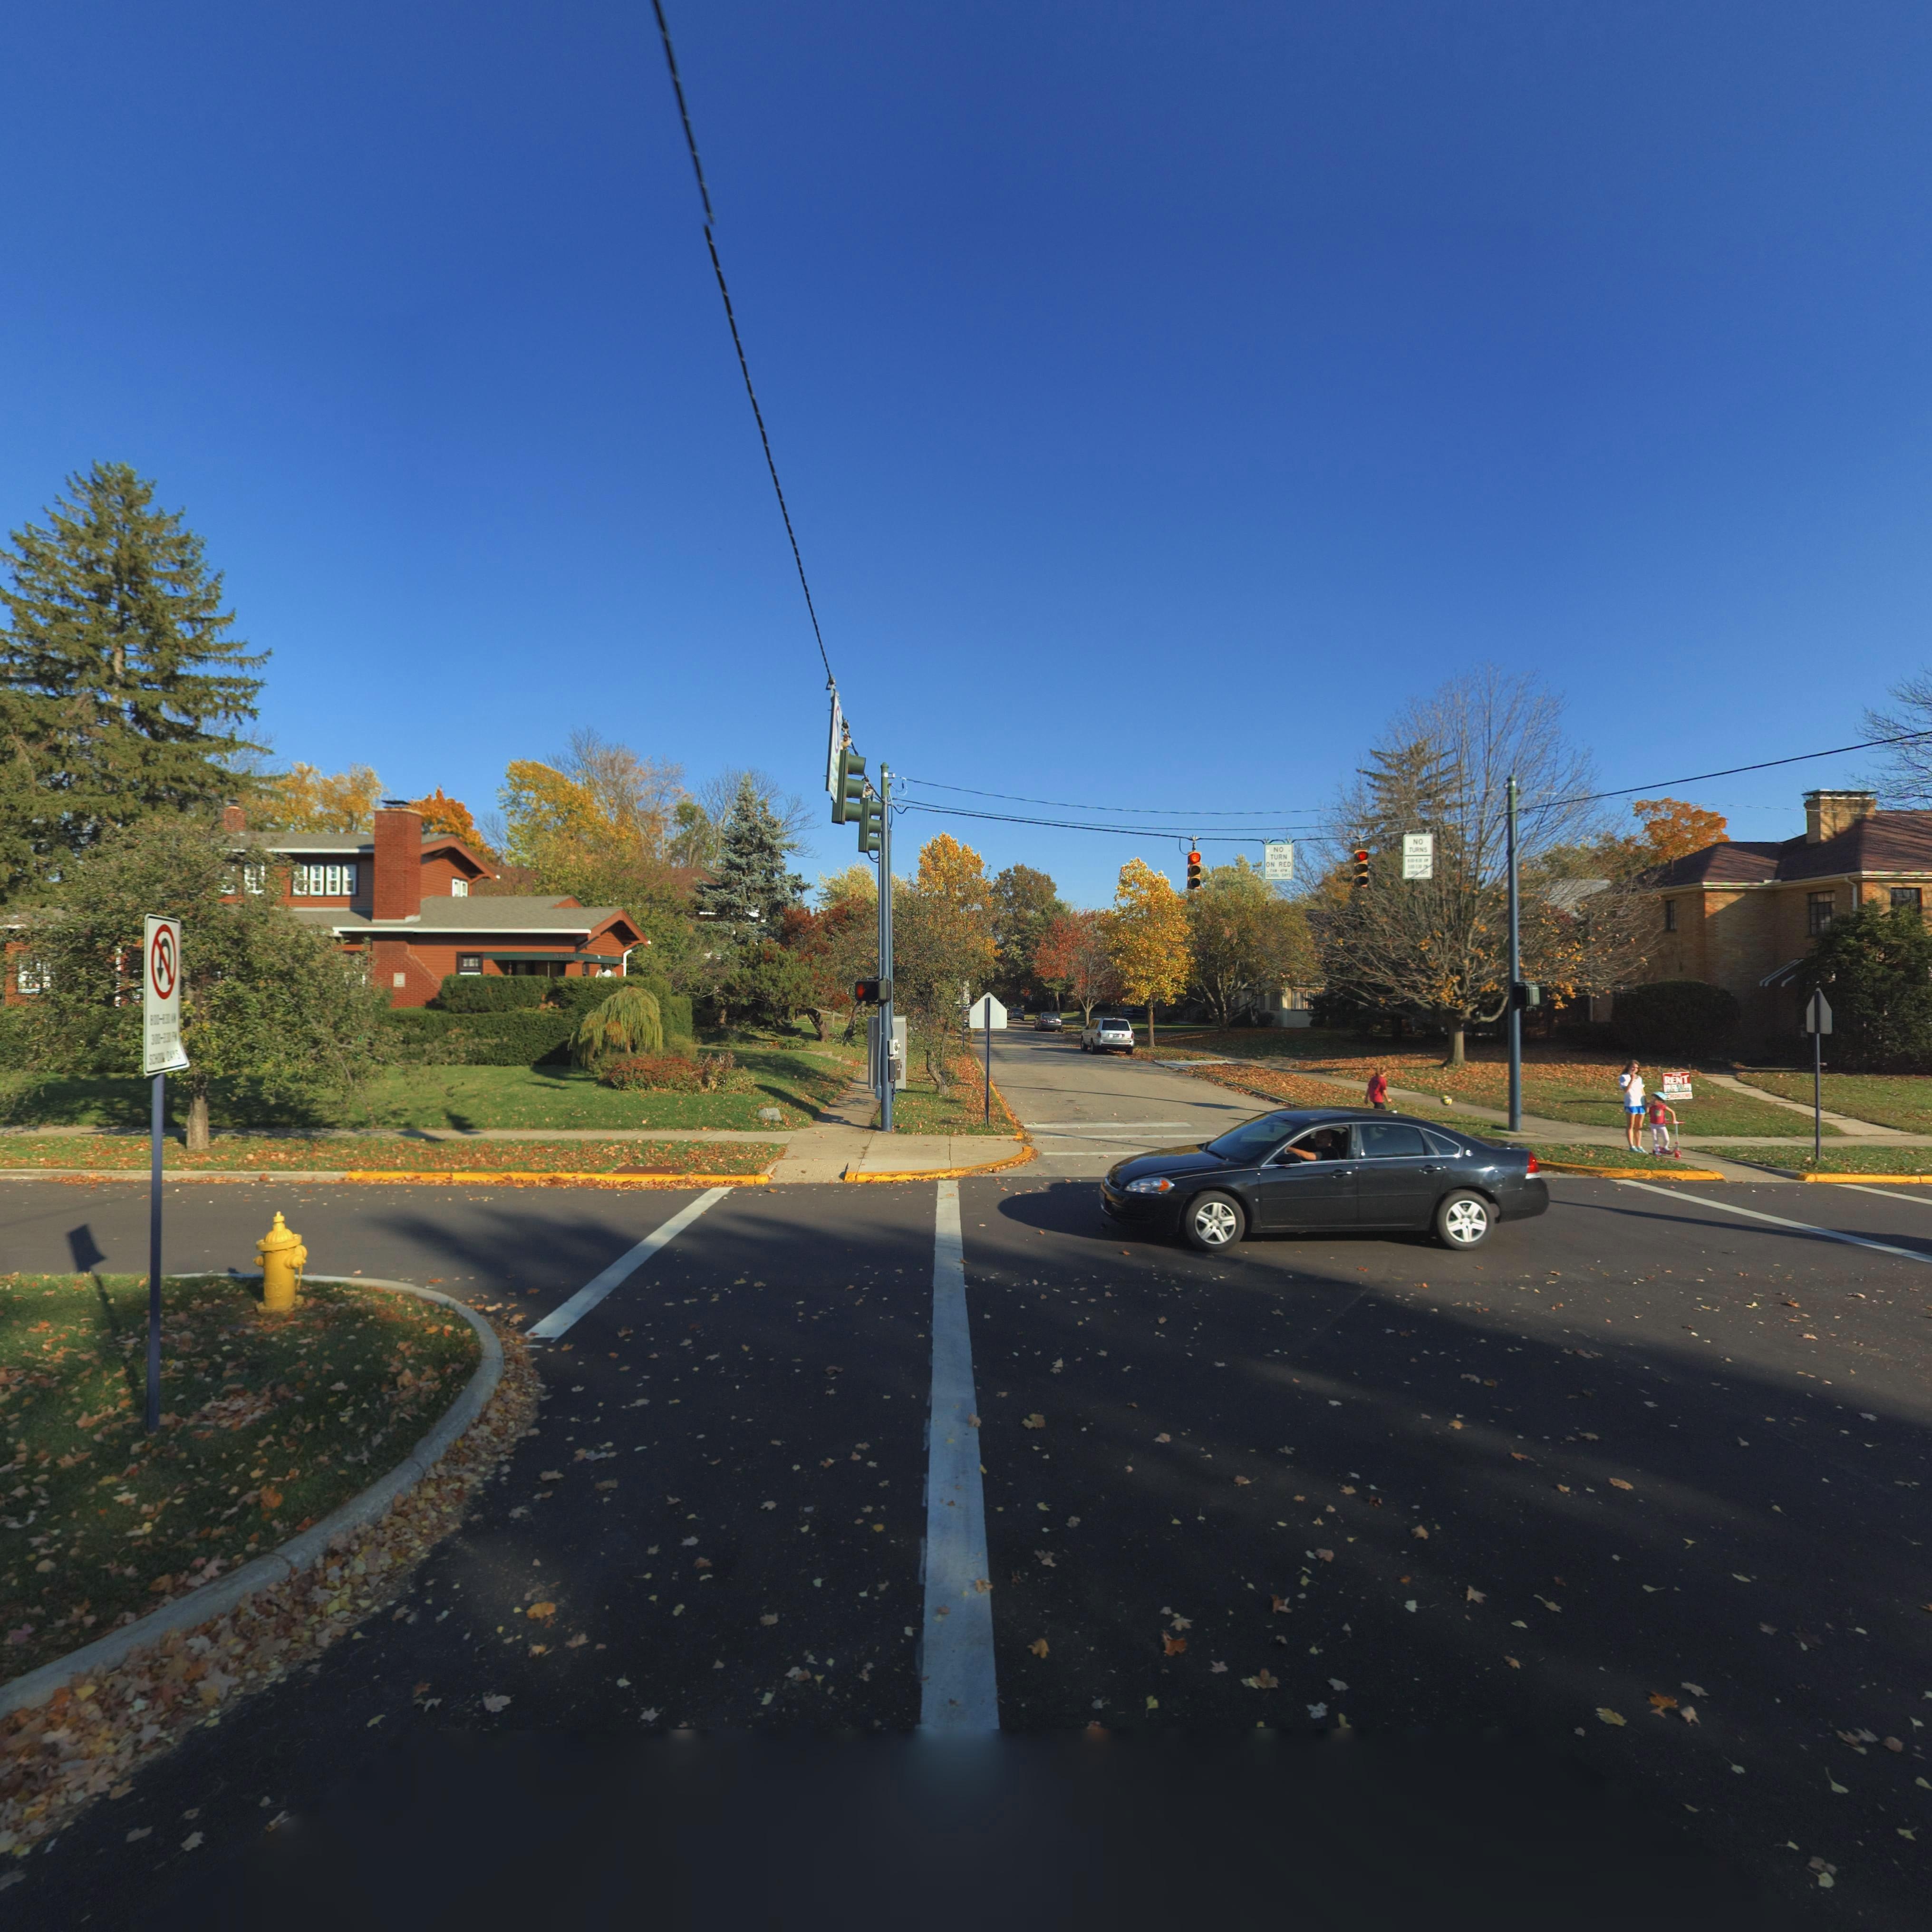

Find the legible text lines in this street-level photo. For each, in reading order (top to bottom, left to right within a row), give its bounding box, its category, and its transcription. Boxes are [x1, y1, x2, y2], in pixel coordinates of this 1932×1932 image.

[551, 953, 571, 959] StreetNumber: 1624